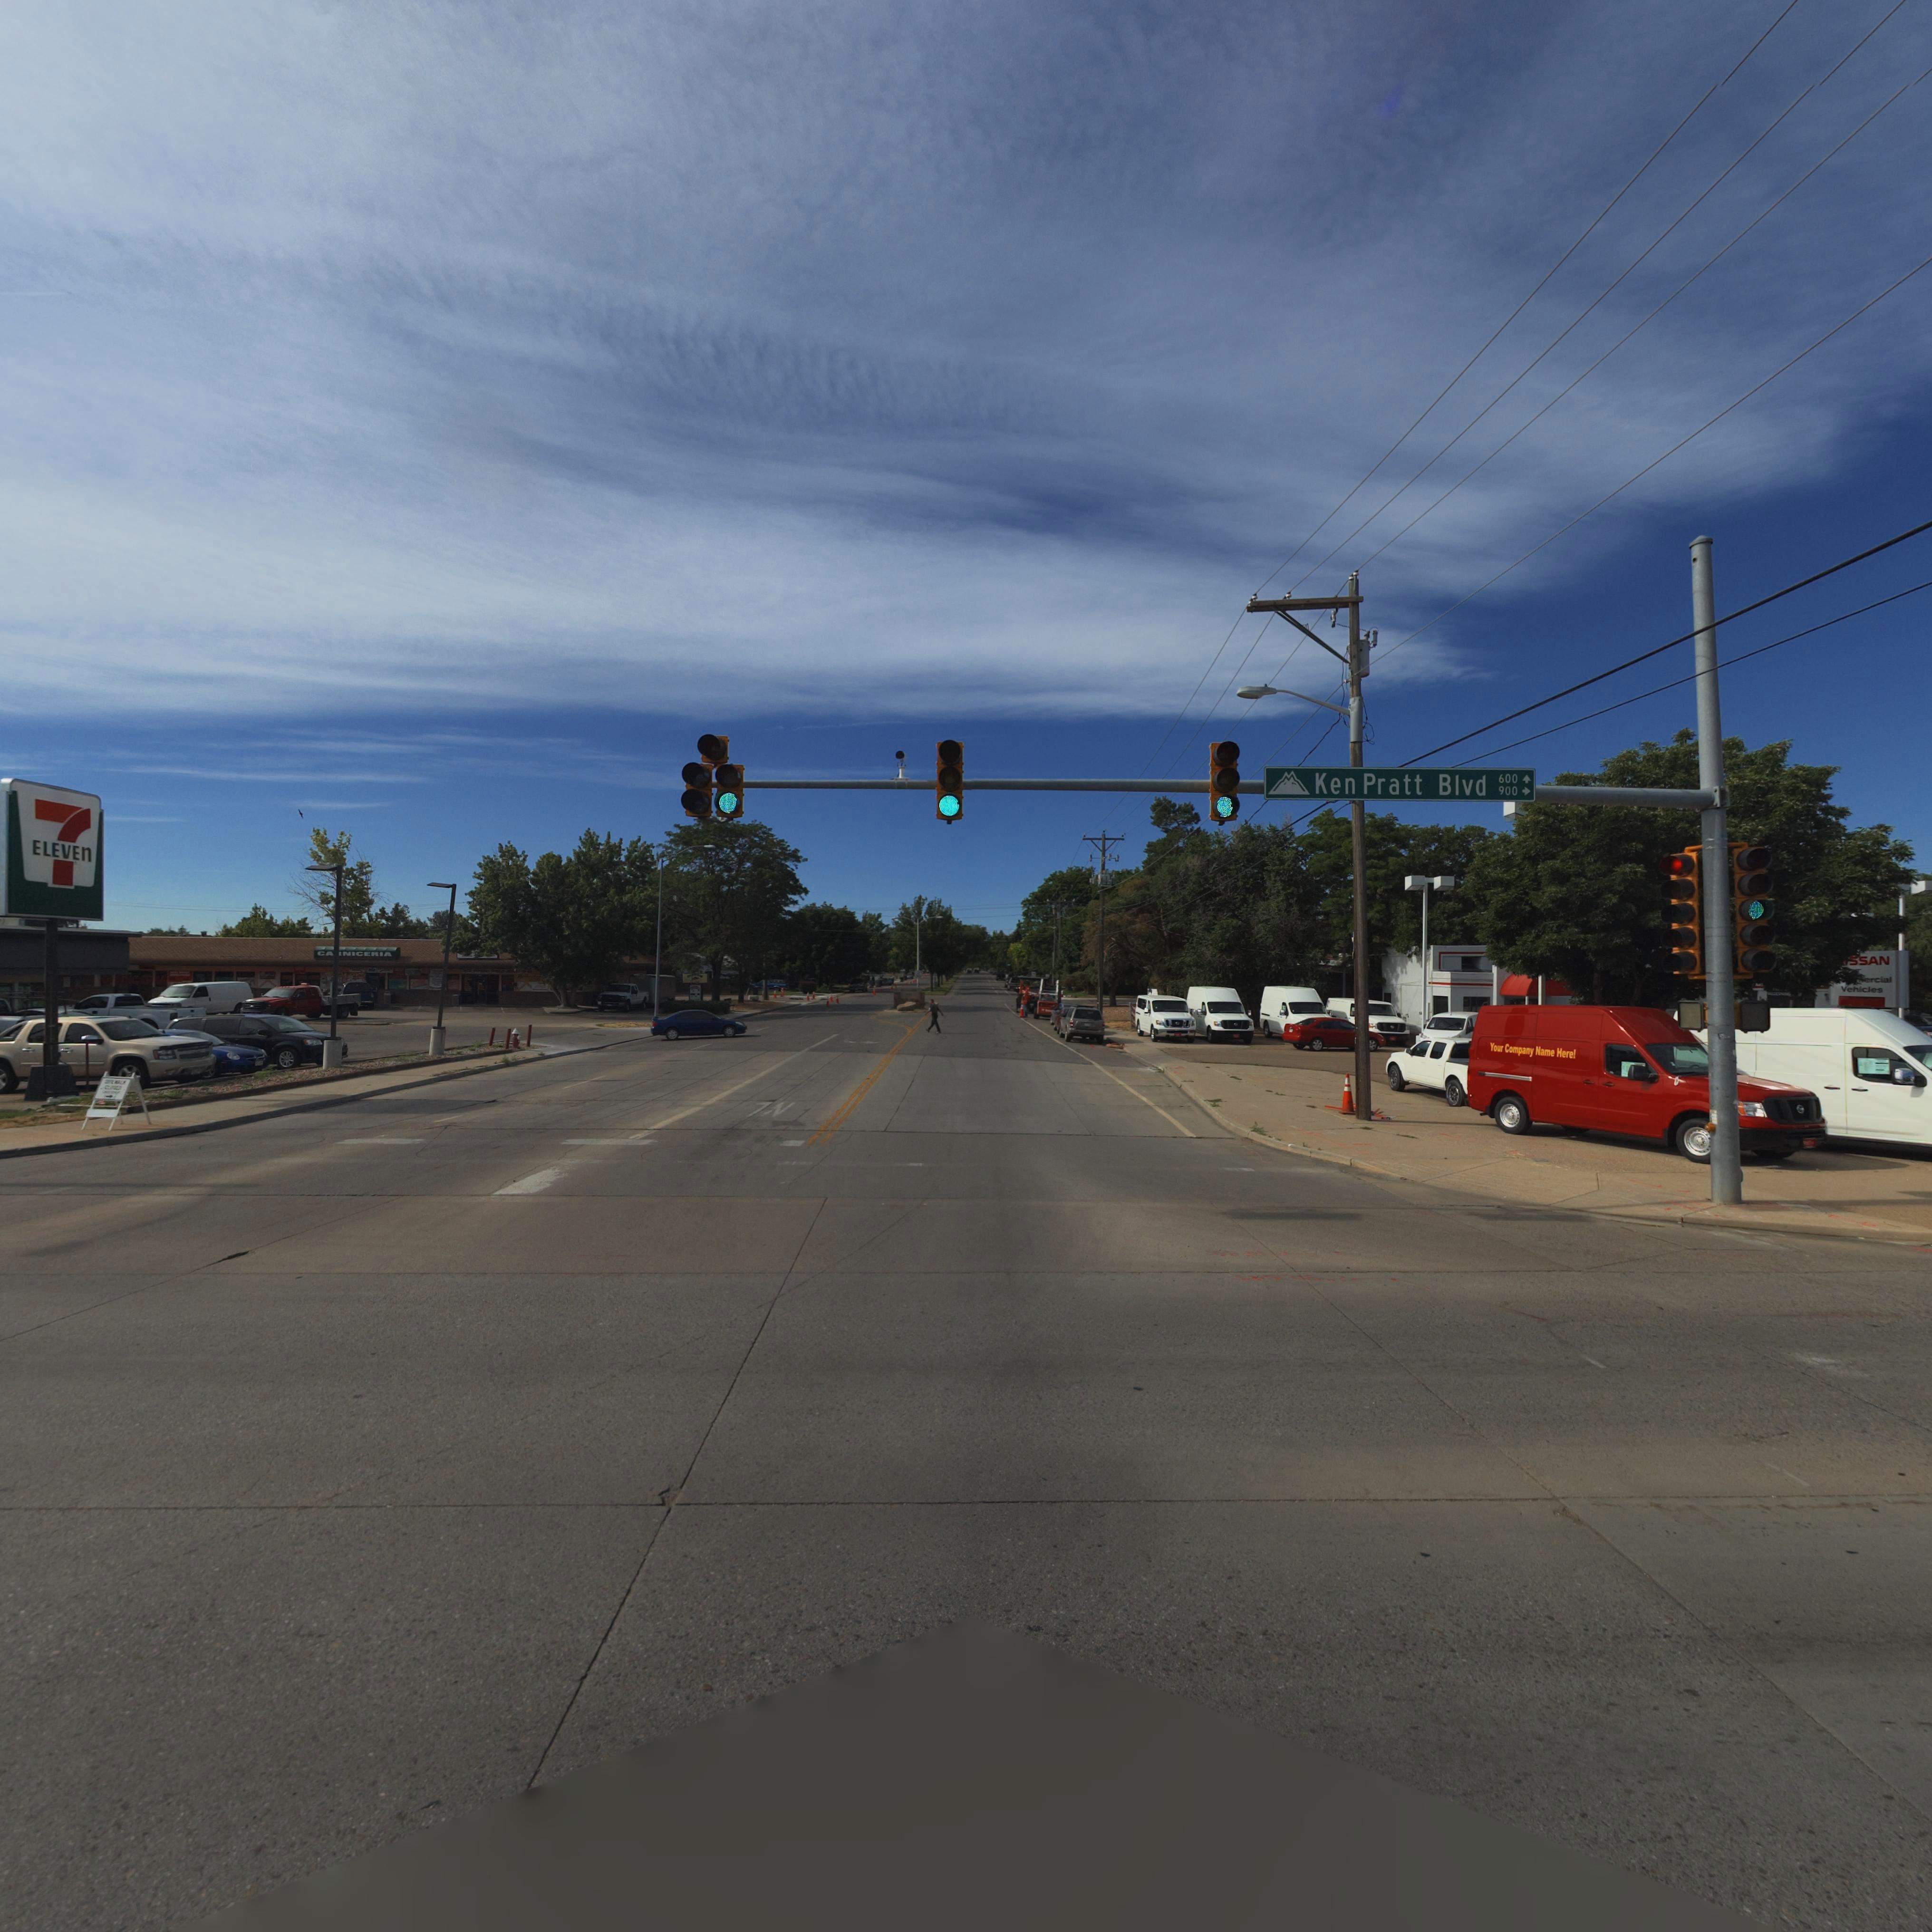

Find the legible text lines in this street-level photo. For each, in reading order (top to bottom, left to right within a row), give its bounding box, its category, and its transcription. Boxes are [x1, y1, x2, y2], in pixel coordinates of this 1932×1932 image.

[1498, 773, 1518, 783] StreetNumberRange: 600
[1314, 772, 1486, 796] StreetName: Ken Pratt Blvd
[1497, 786, 1531, 796] StreetNumberRange: 900->
[34, 797, 91, 887] BusinessName: 7
[31, 839, 92, 863] BusinessName: ELEVEN
[1848, 955, 1890, 966] BusinessName: SSAN
[1863, 976, 1892, 983] BusinessName: ercial
[1840, 985, 1883, 993] BusinessName: Vehicles